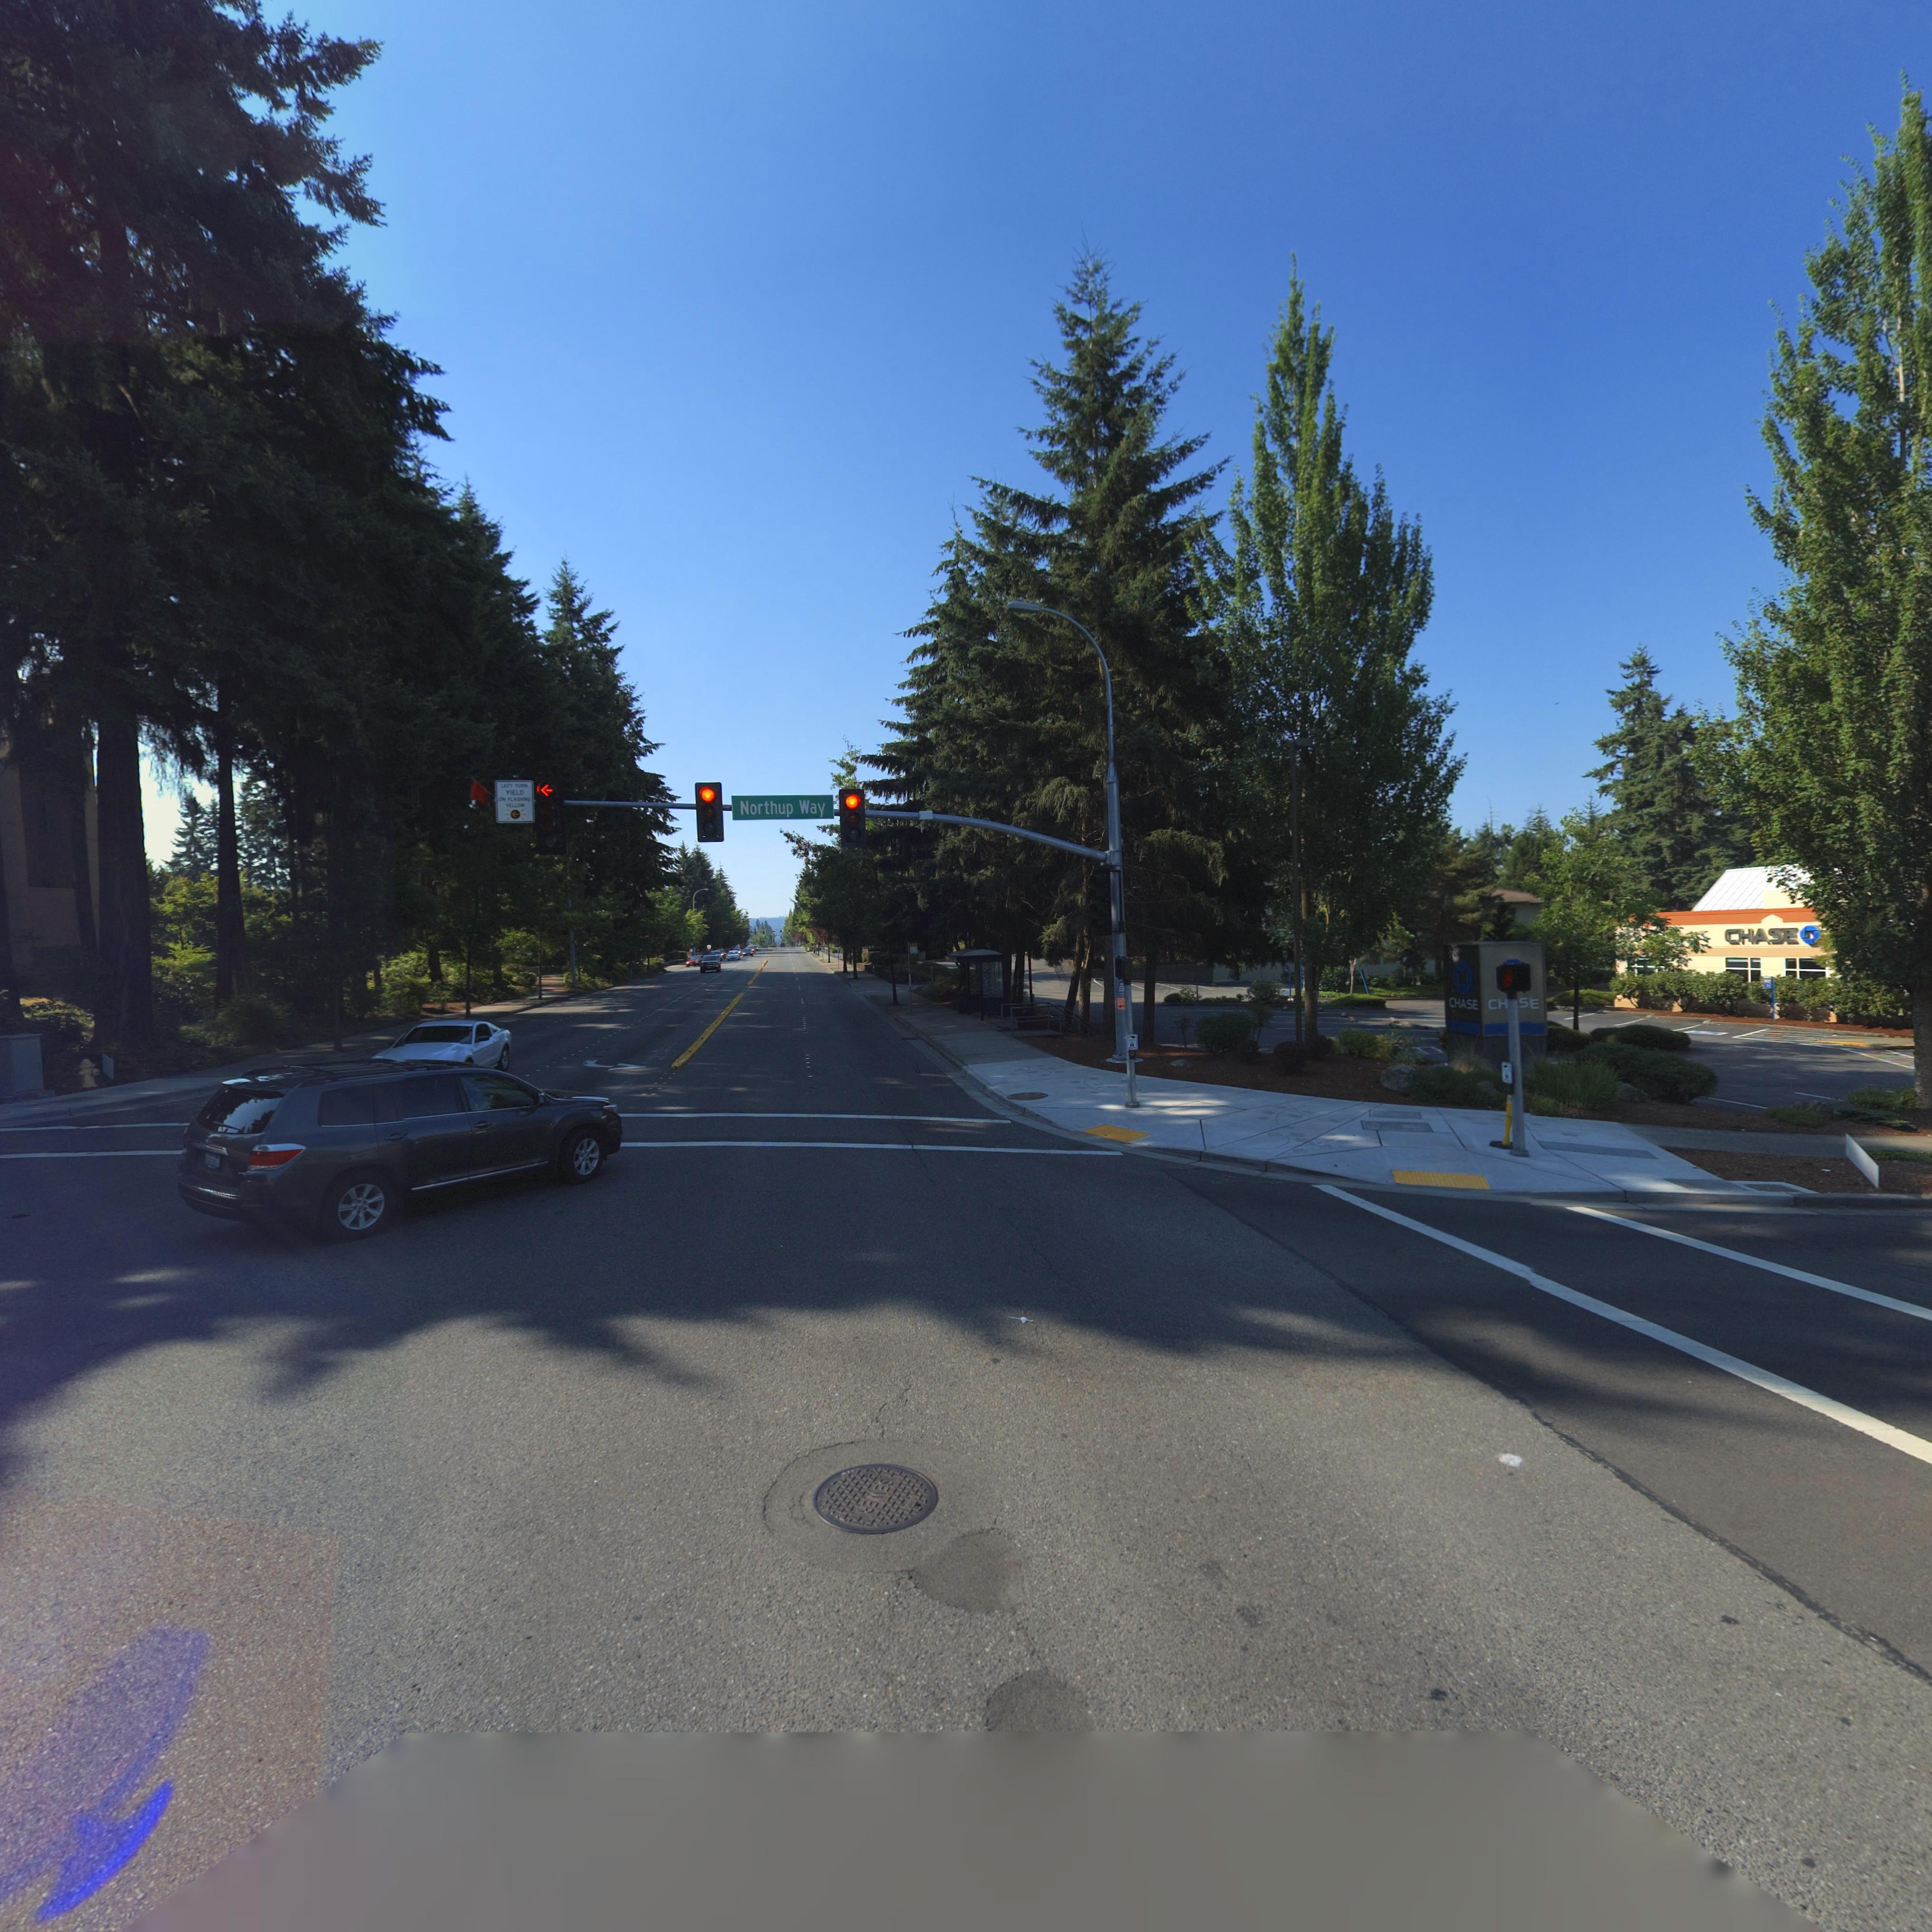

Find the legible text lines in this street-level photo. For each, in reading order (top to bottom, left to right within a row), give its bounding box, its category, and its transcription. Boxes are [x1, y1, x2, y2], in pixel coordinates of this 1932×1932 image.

[740, 799, 825, 818] StreetName: Northup Nay
[1724, 927, 1798, 943] BusinessName: CHASE
[1449, 997, 1478, 1011] BusinessName: CHASE
[1488, 997, 1539, 1010] BusinessName: CH*S*E